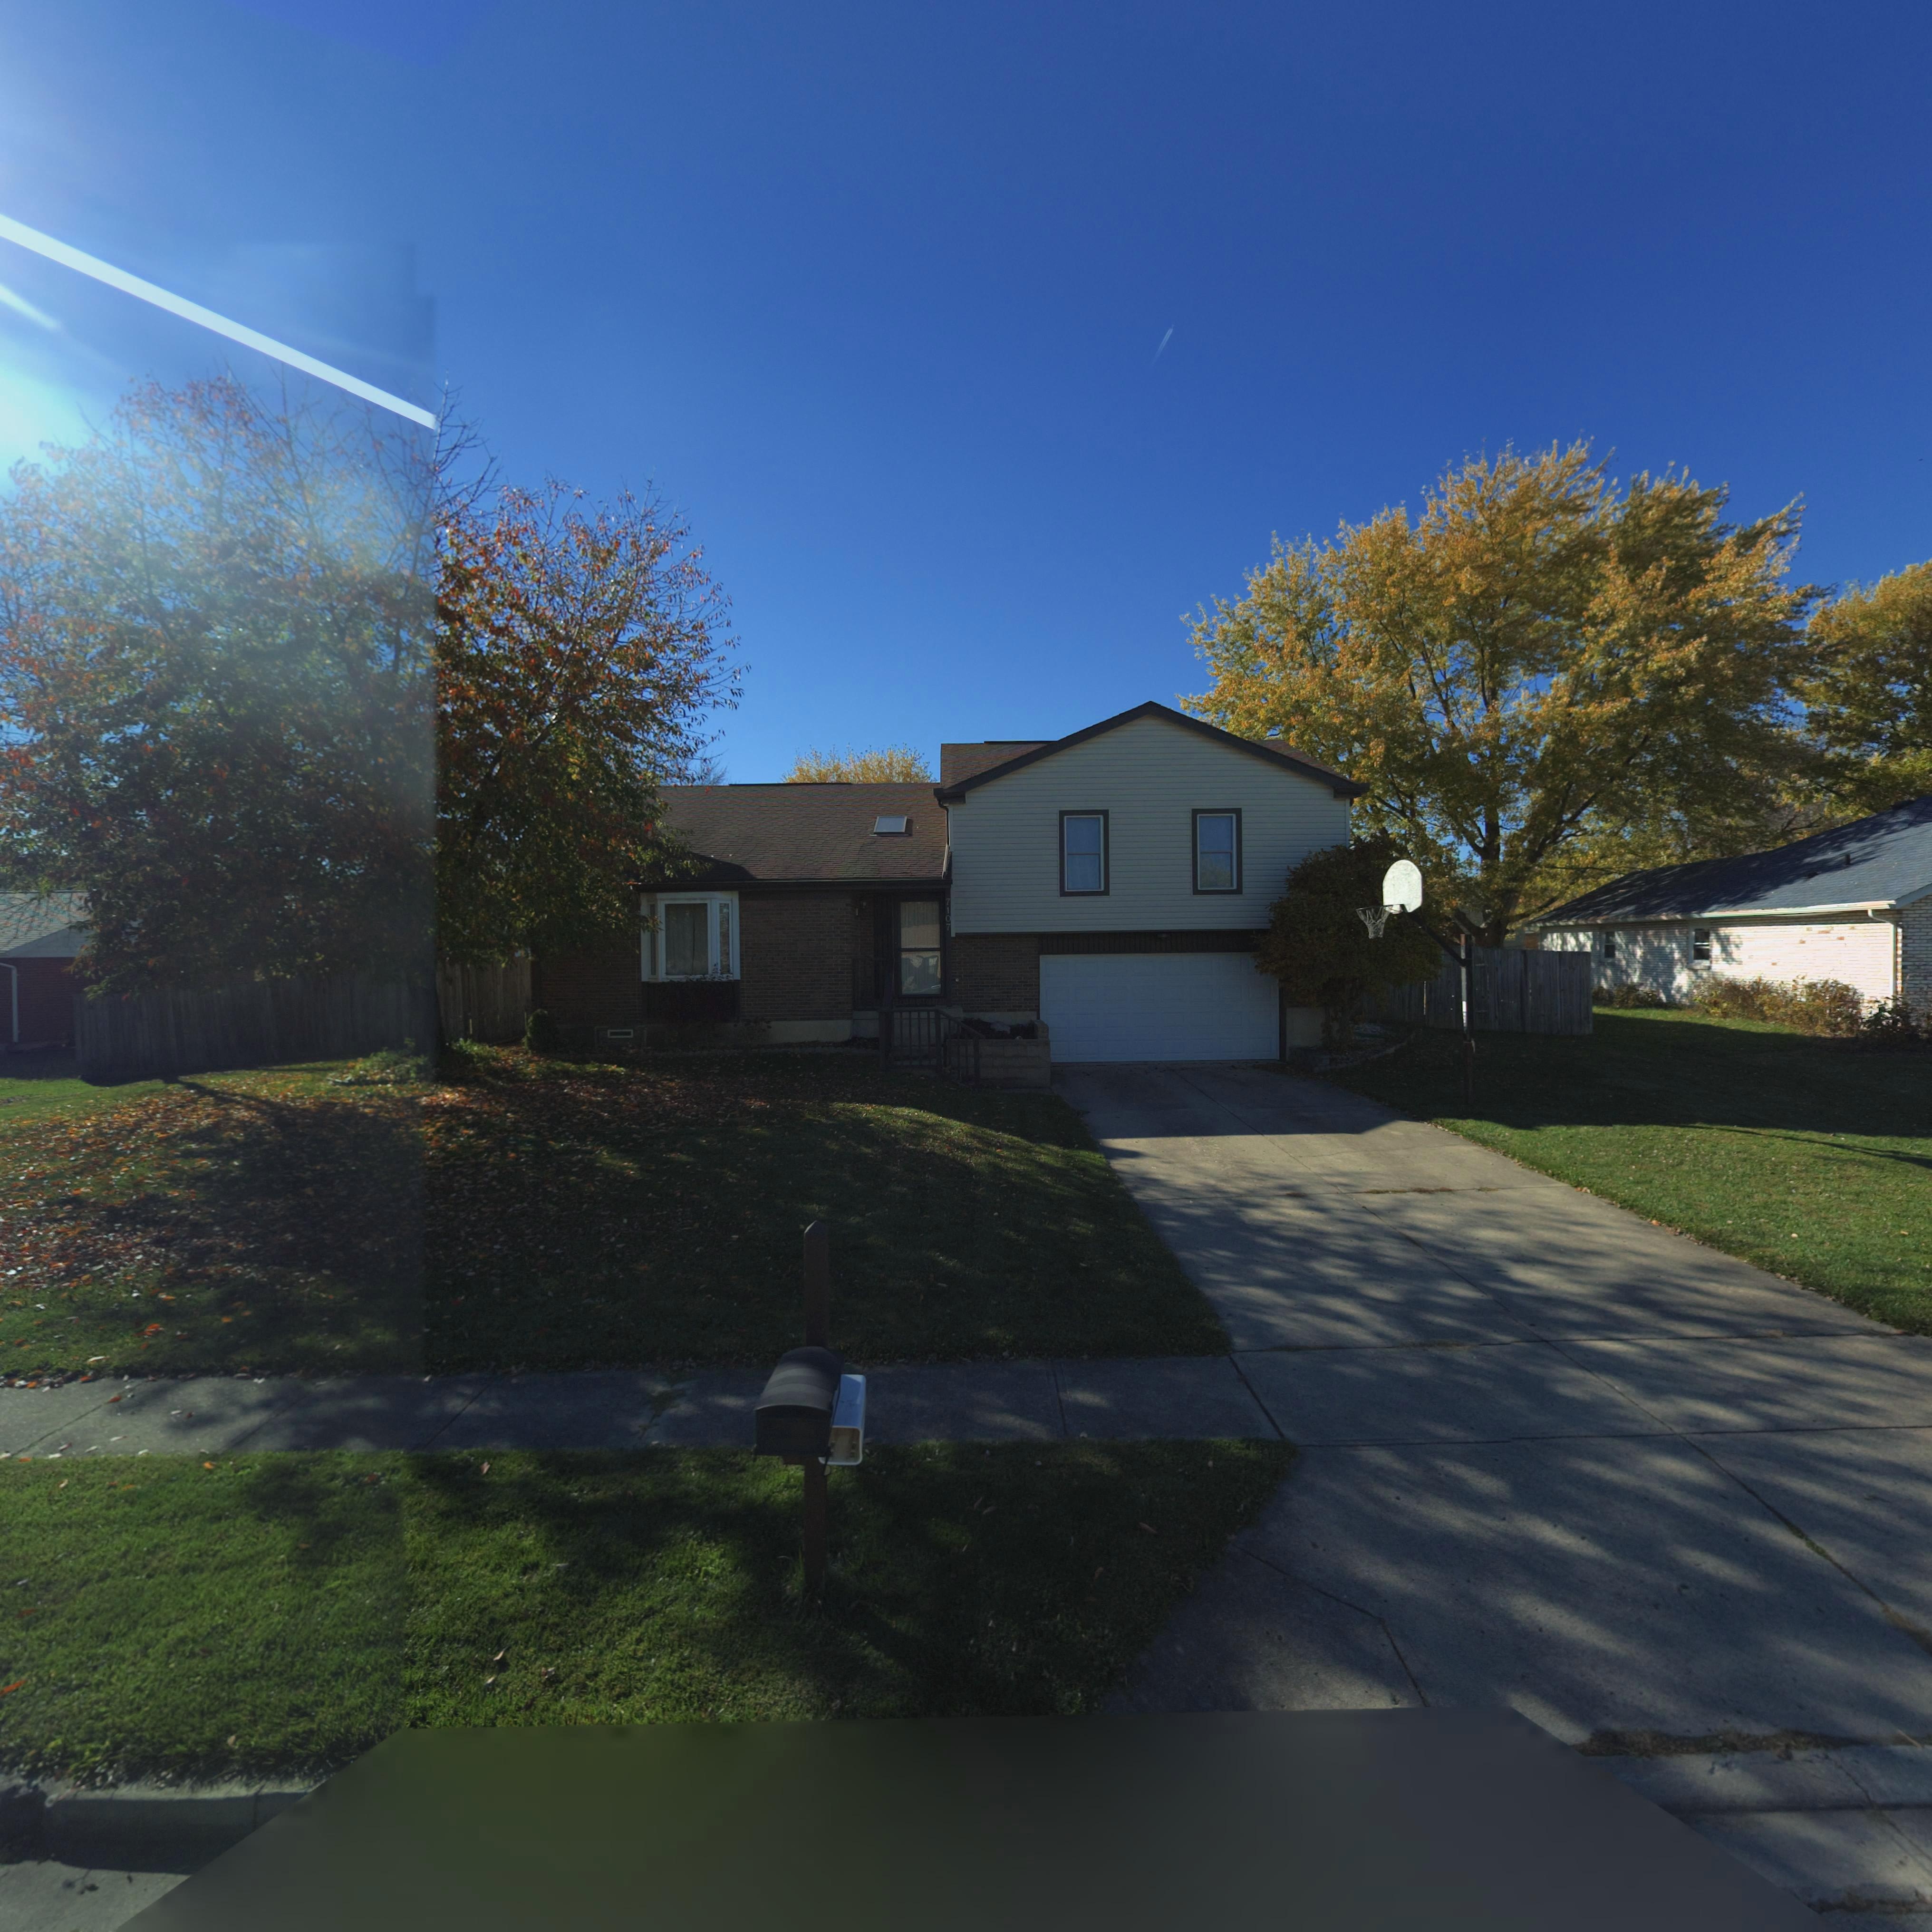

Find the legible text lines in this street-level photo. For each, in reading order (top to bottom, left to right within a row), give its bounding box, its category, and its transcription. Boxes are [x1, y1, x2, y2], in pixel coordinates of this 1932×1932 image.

[944, 897, 952, 932] StreetNumber: 7107